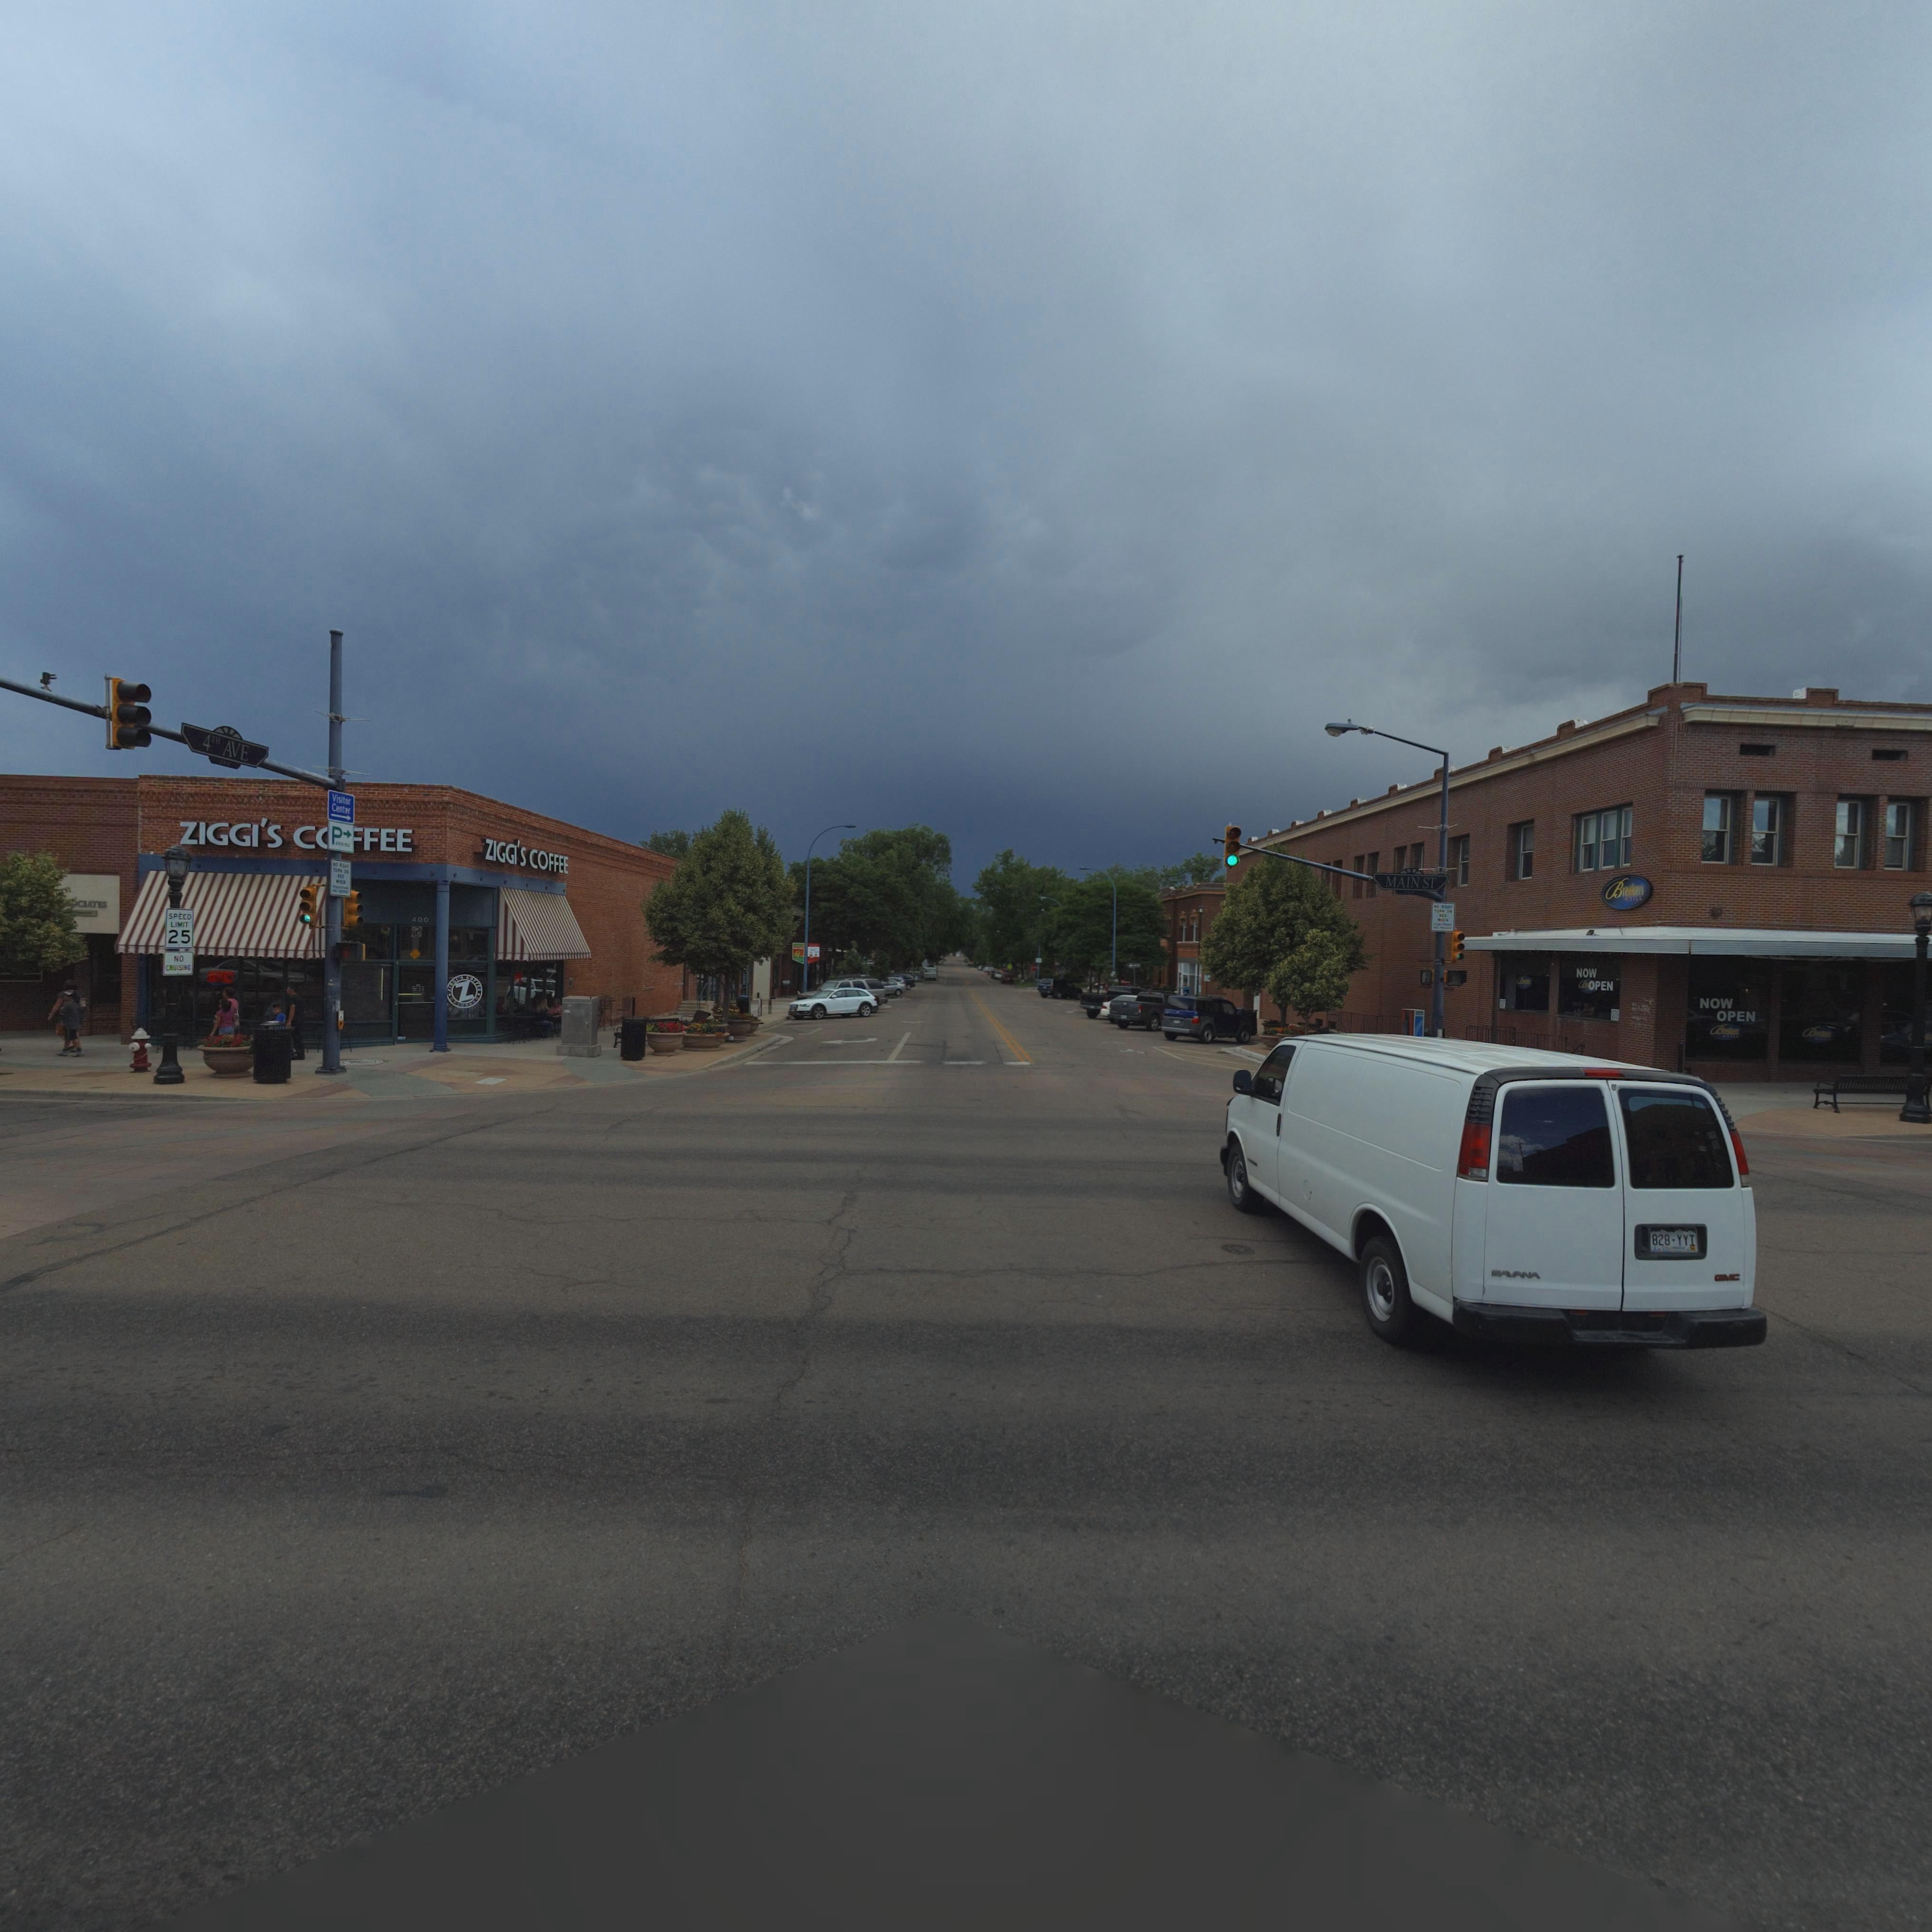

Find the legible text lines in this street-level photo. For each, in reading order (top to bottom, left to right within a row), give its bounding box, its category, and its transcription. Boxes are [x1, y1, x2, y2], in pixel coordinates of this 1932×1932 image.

[203, 734, 249, 762] StreetName: 4TH AVE
[180, 816, 327, 850] BusinessName: ZIGGI'S C*
[353, 827, 413, 852] BusinessName: *FEE
[481, 838, 569, 874] BusinessName: ZIGGI'S COFFEE
[1386, 876, 1436, 889] StreetName: MAIN ST
[1605, 878, 1644, 899] BusinessName: Bre**e*s
[77, 900, 107, 908] BusinessName: CIATES
[1623, 895, 1643, 901] BusinessName: **ILL
[411, 917, 429, 923] StreetNumber: 400
[447, 976, 481, 991] BusinessName: ZIGGI'* COFF**
[1516, 976, 1531, 985] BusinessName: B*******
[1578, 979, 1587, 988] BusinessName: B
[1710, 1024, 1739, 1035] BusinessName: B*e***rs
[1801, 1025, 1832, 1038] BusinessName: B*******